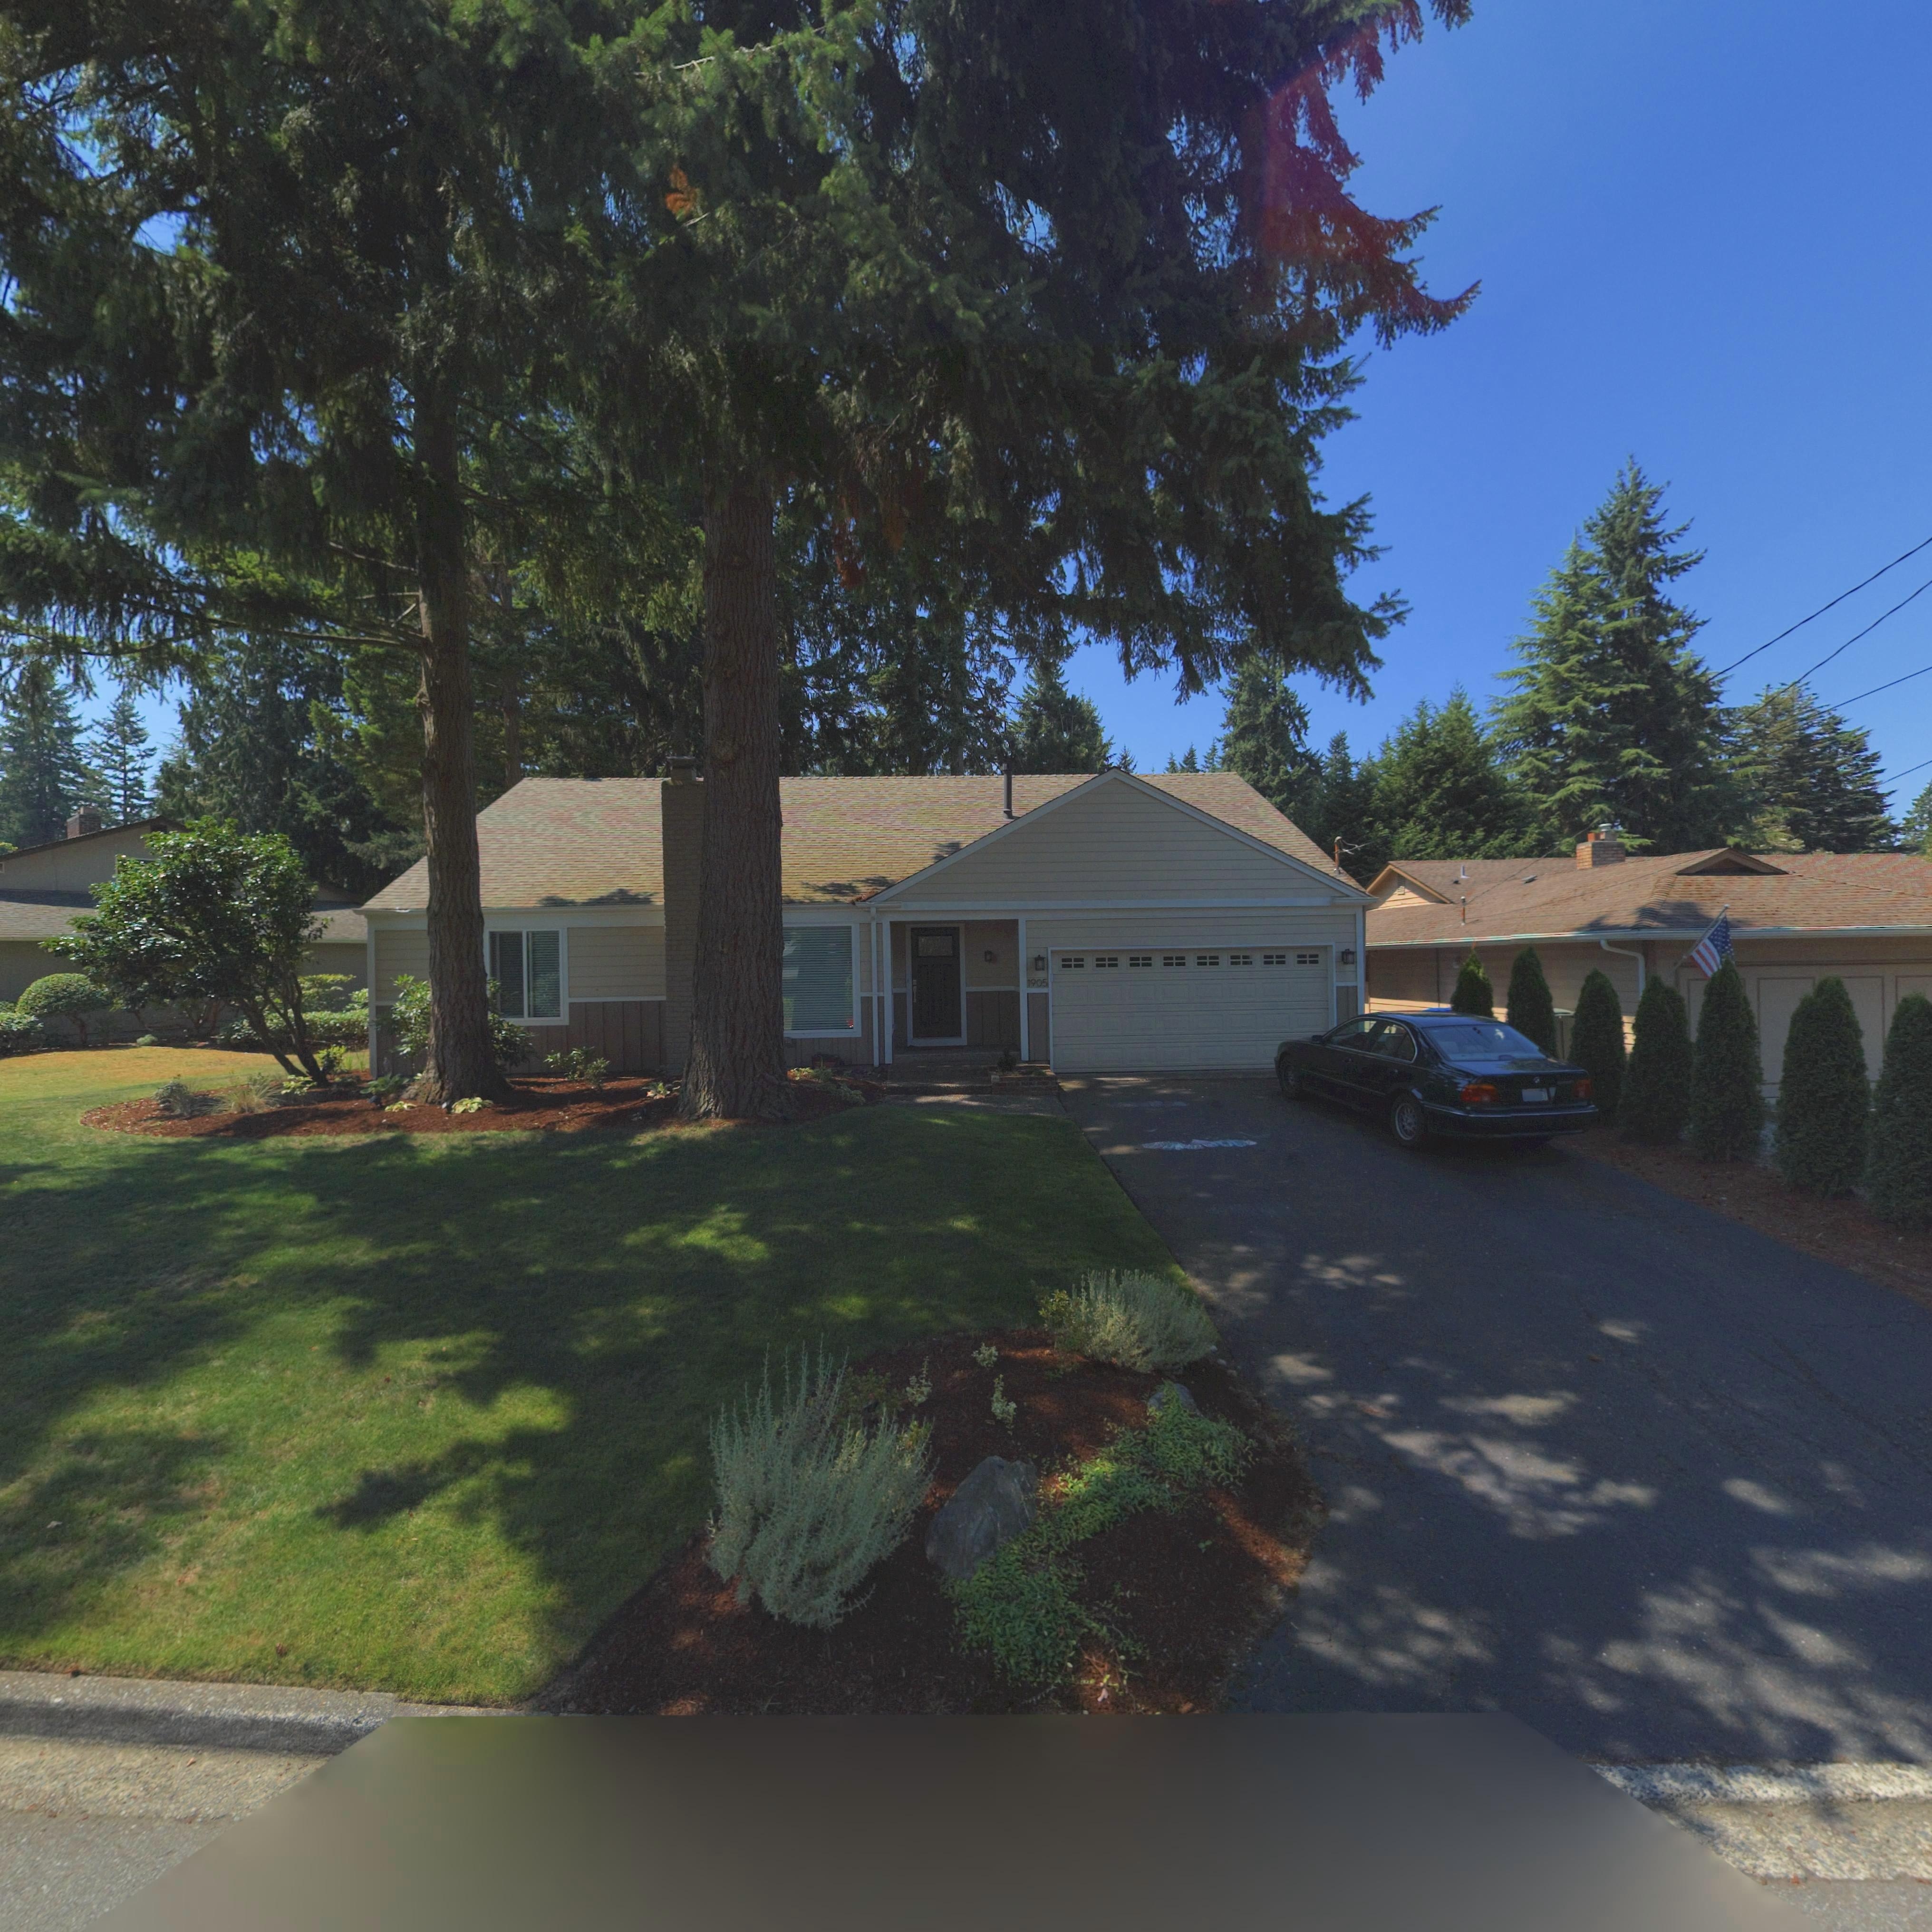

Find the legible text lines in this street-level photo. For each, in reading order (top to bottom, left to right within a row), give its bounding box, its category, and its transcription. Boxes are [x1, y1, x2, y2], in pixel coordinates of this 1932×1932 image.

[1027, 979, 1046, 987] StreetNumber: 1905